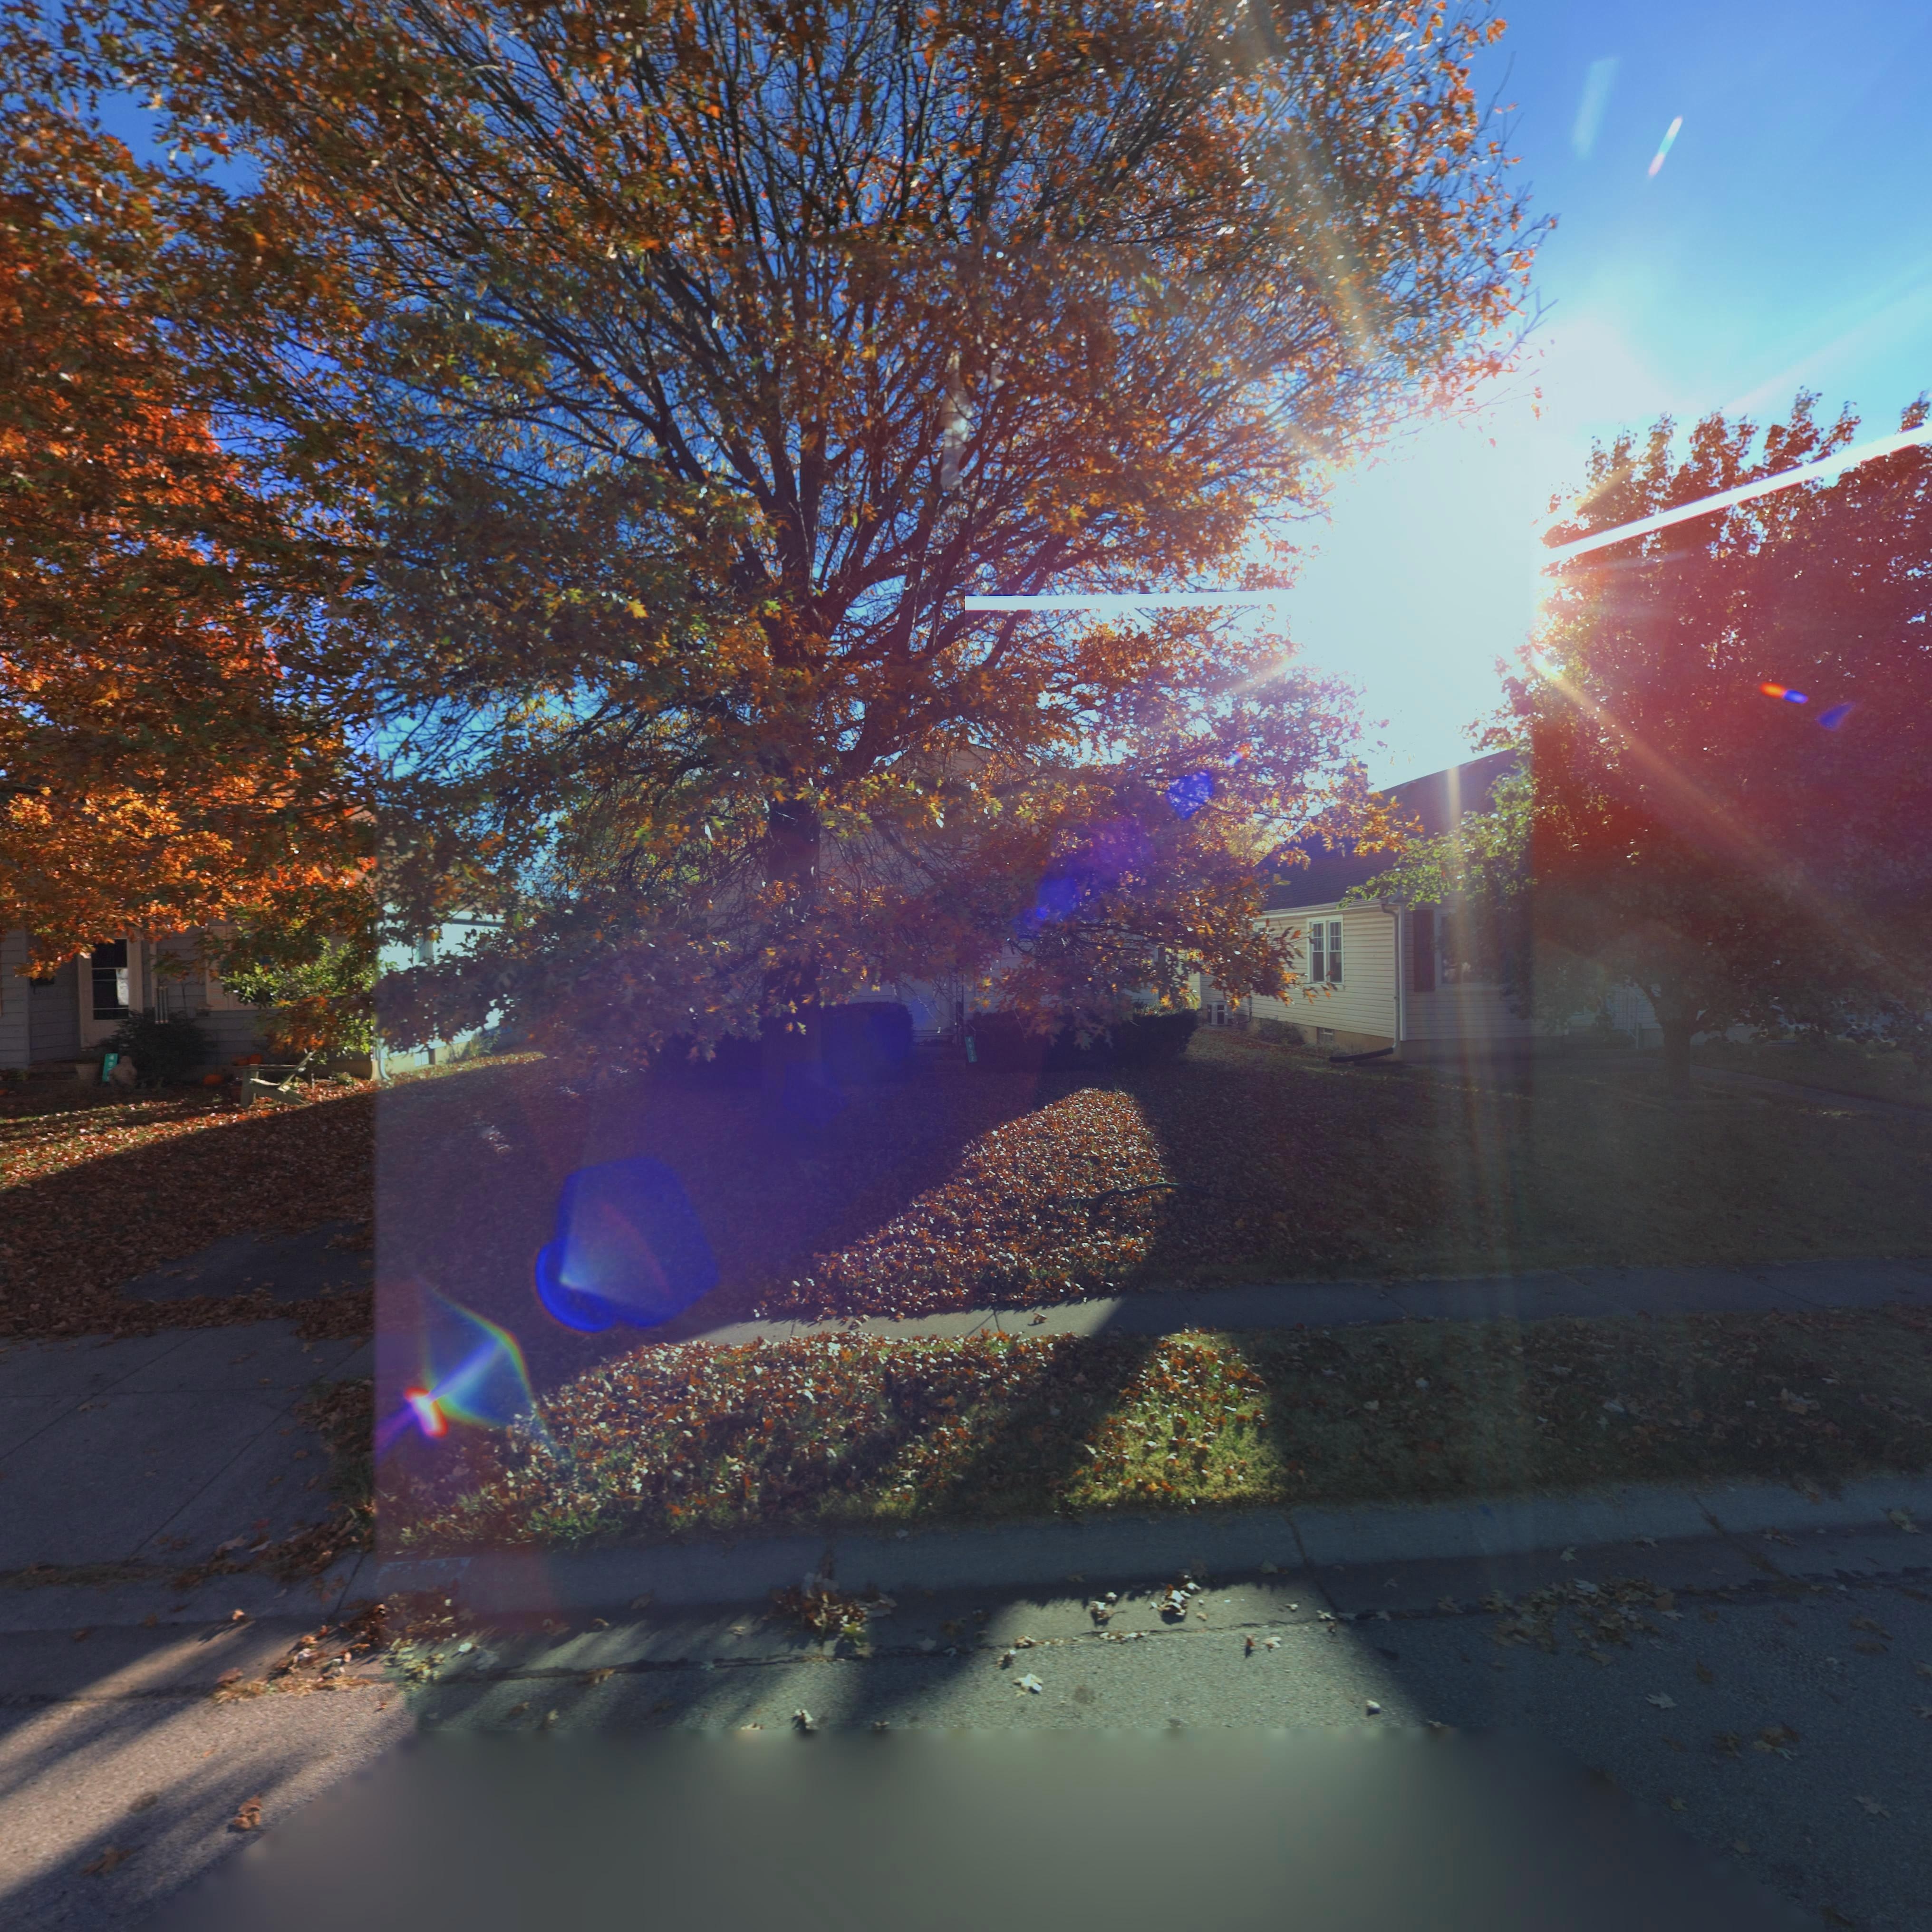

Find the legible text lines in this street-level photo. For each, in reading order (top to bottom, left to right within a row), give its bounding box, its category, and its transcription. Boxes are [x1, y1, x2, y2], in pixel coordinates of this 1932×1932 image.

[966, 1037, 975, 1062] StreetNumber: 4932
[106, 1054, 115, 1081] StreetNumber: 49**